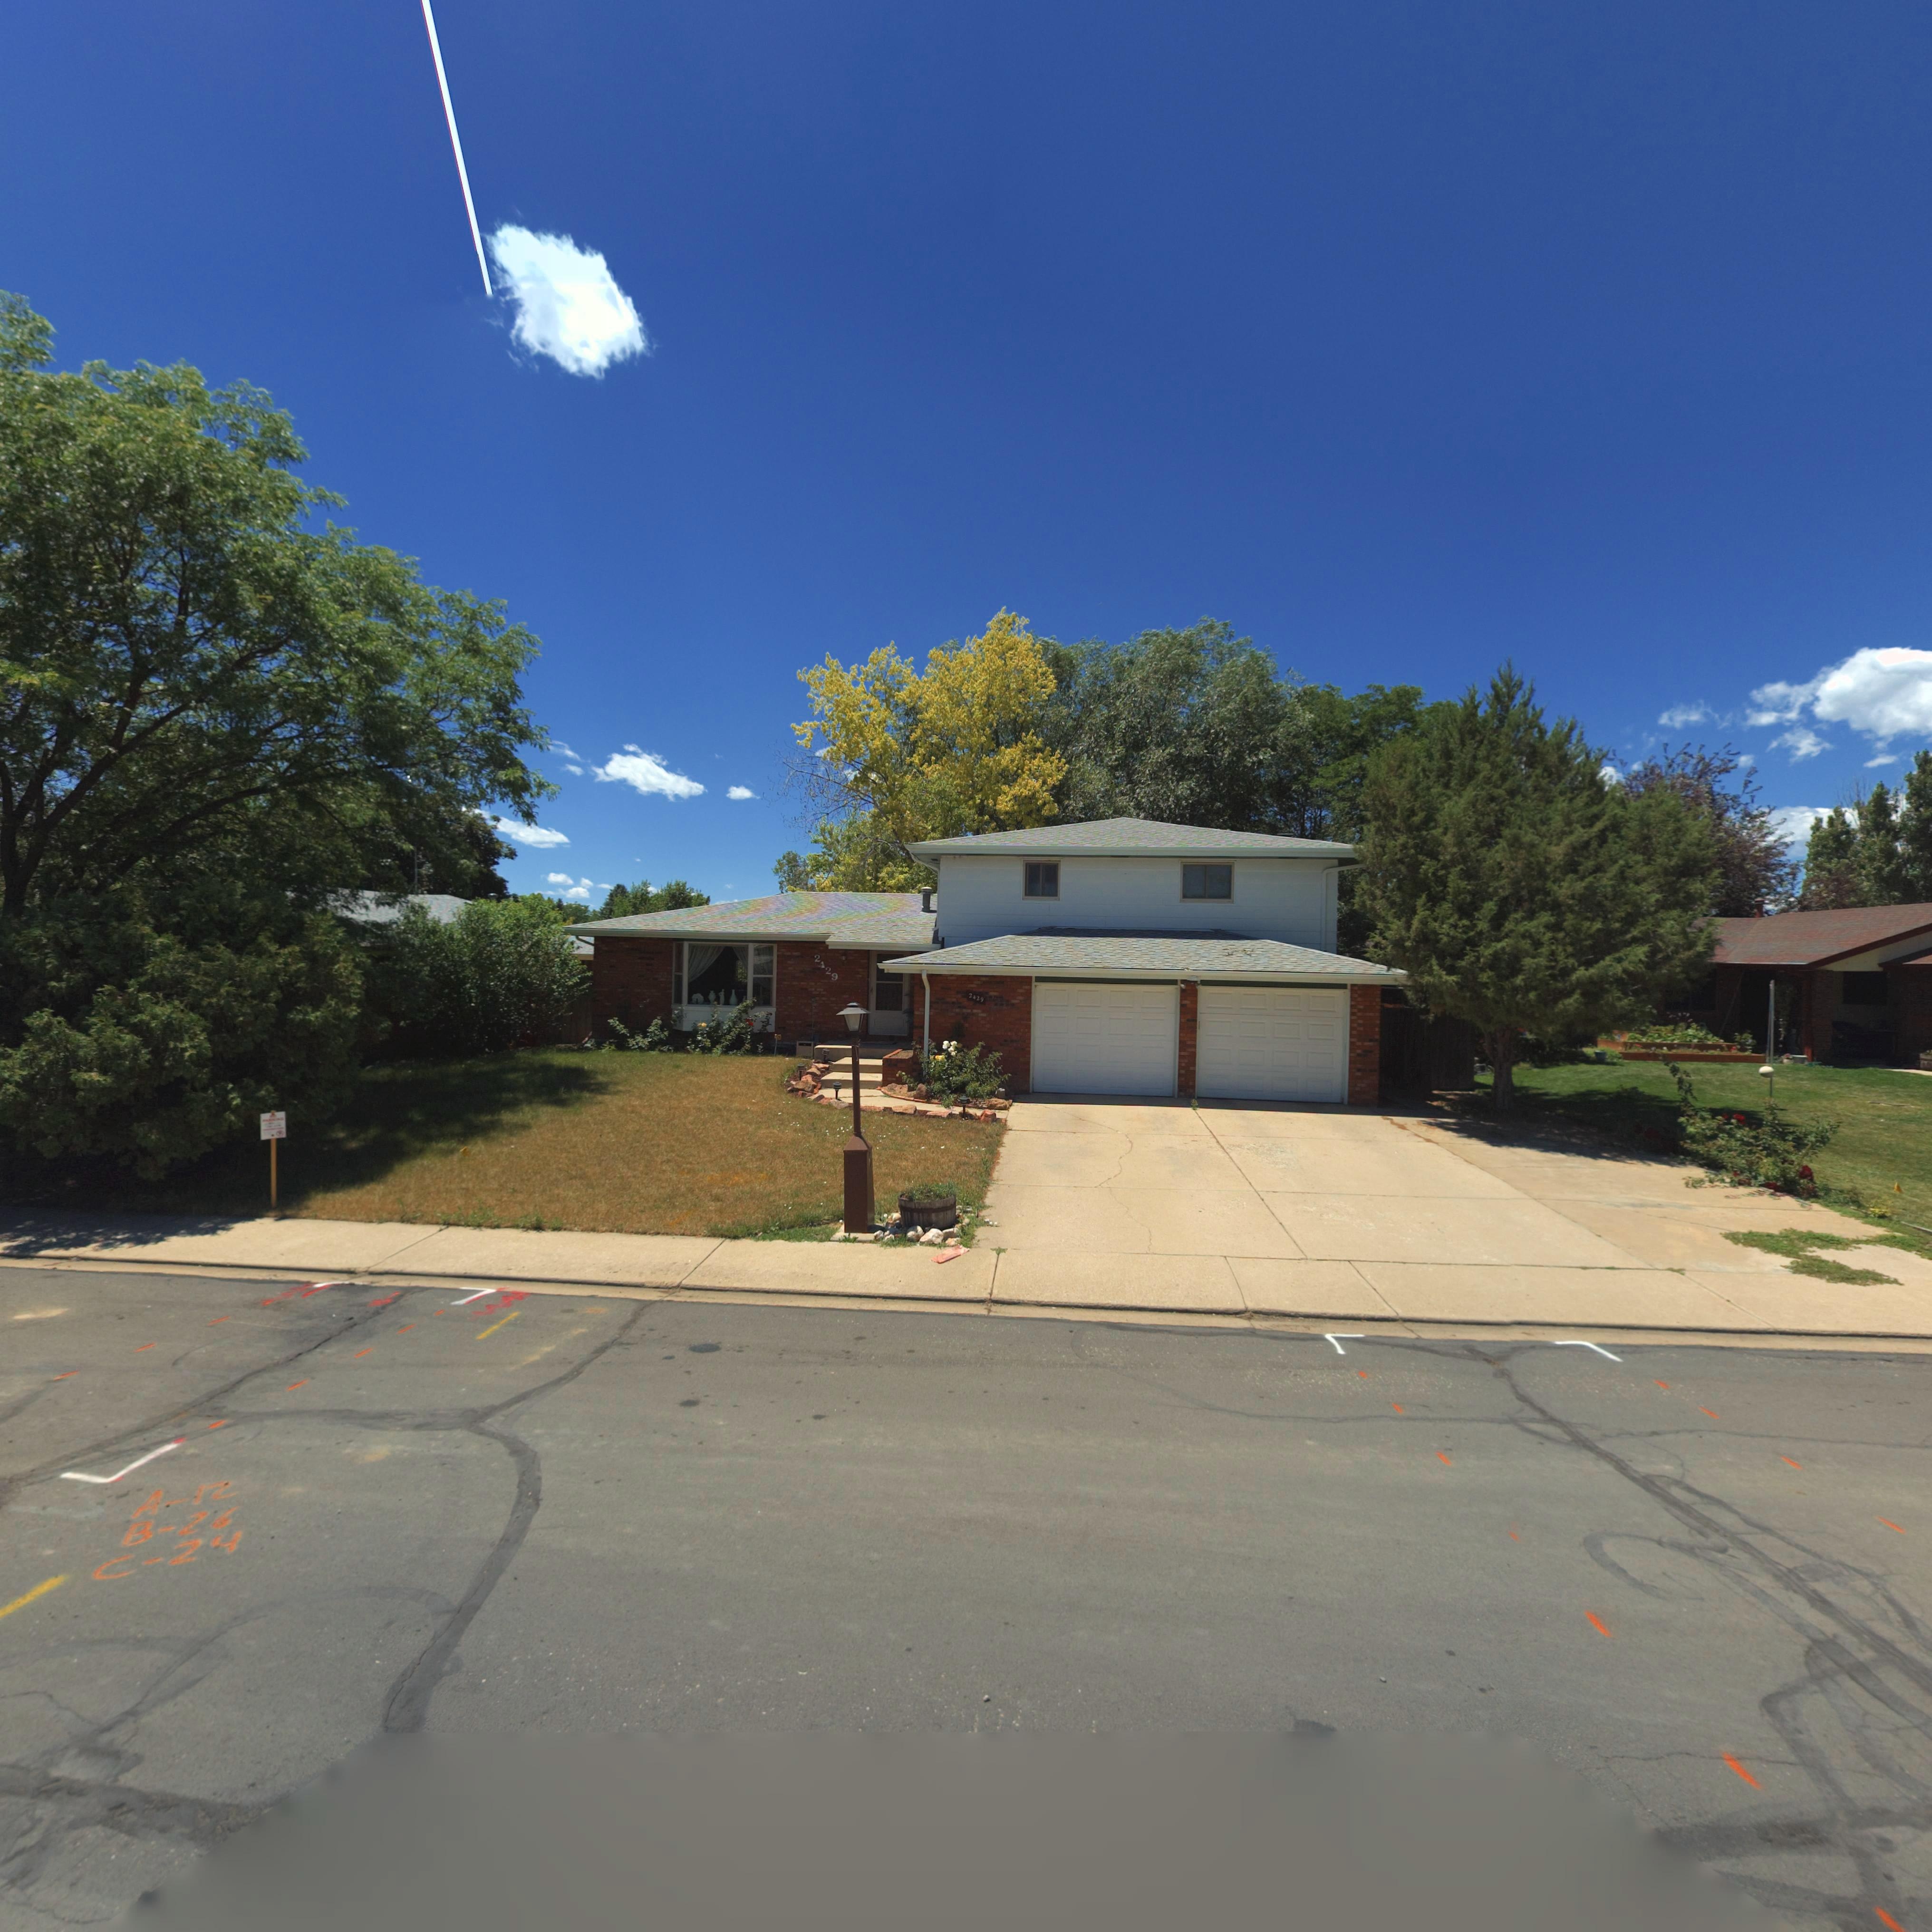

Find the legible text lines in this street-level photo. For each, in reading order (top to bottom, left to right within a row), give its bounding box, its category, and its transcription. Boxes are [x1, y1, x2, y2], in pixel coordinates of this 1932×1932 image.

[813, 953, 839, 982] StreetNumber: 2429
[968, 992, 985, 1003] StreetNumber: 2429